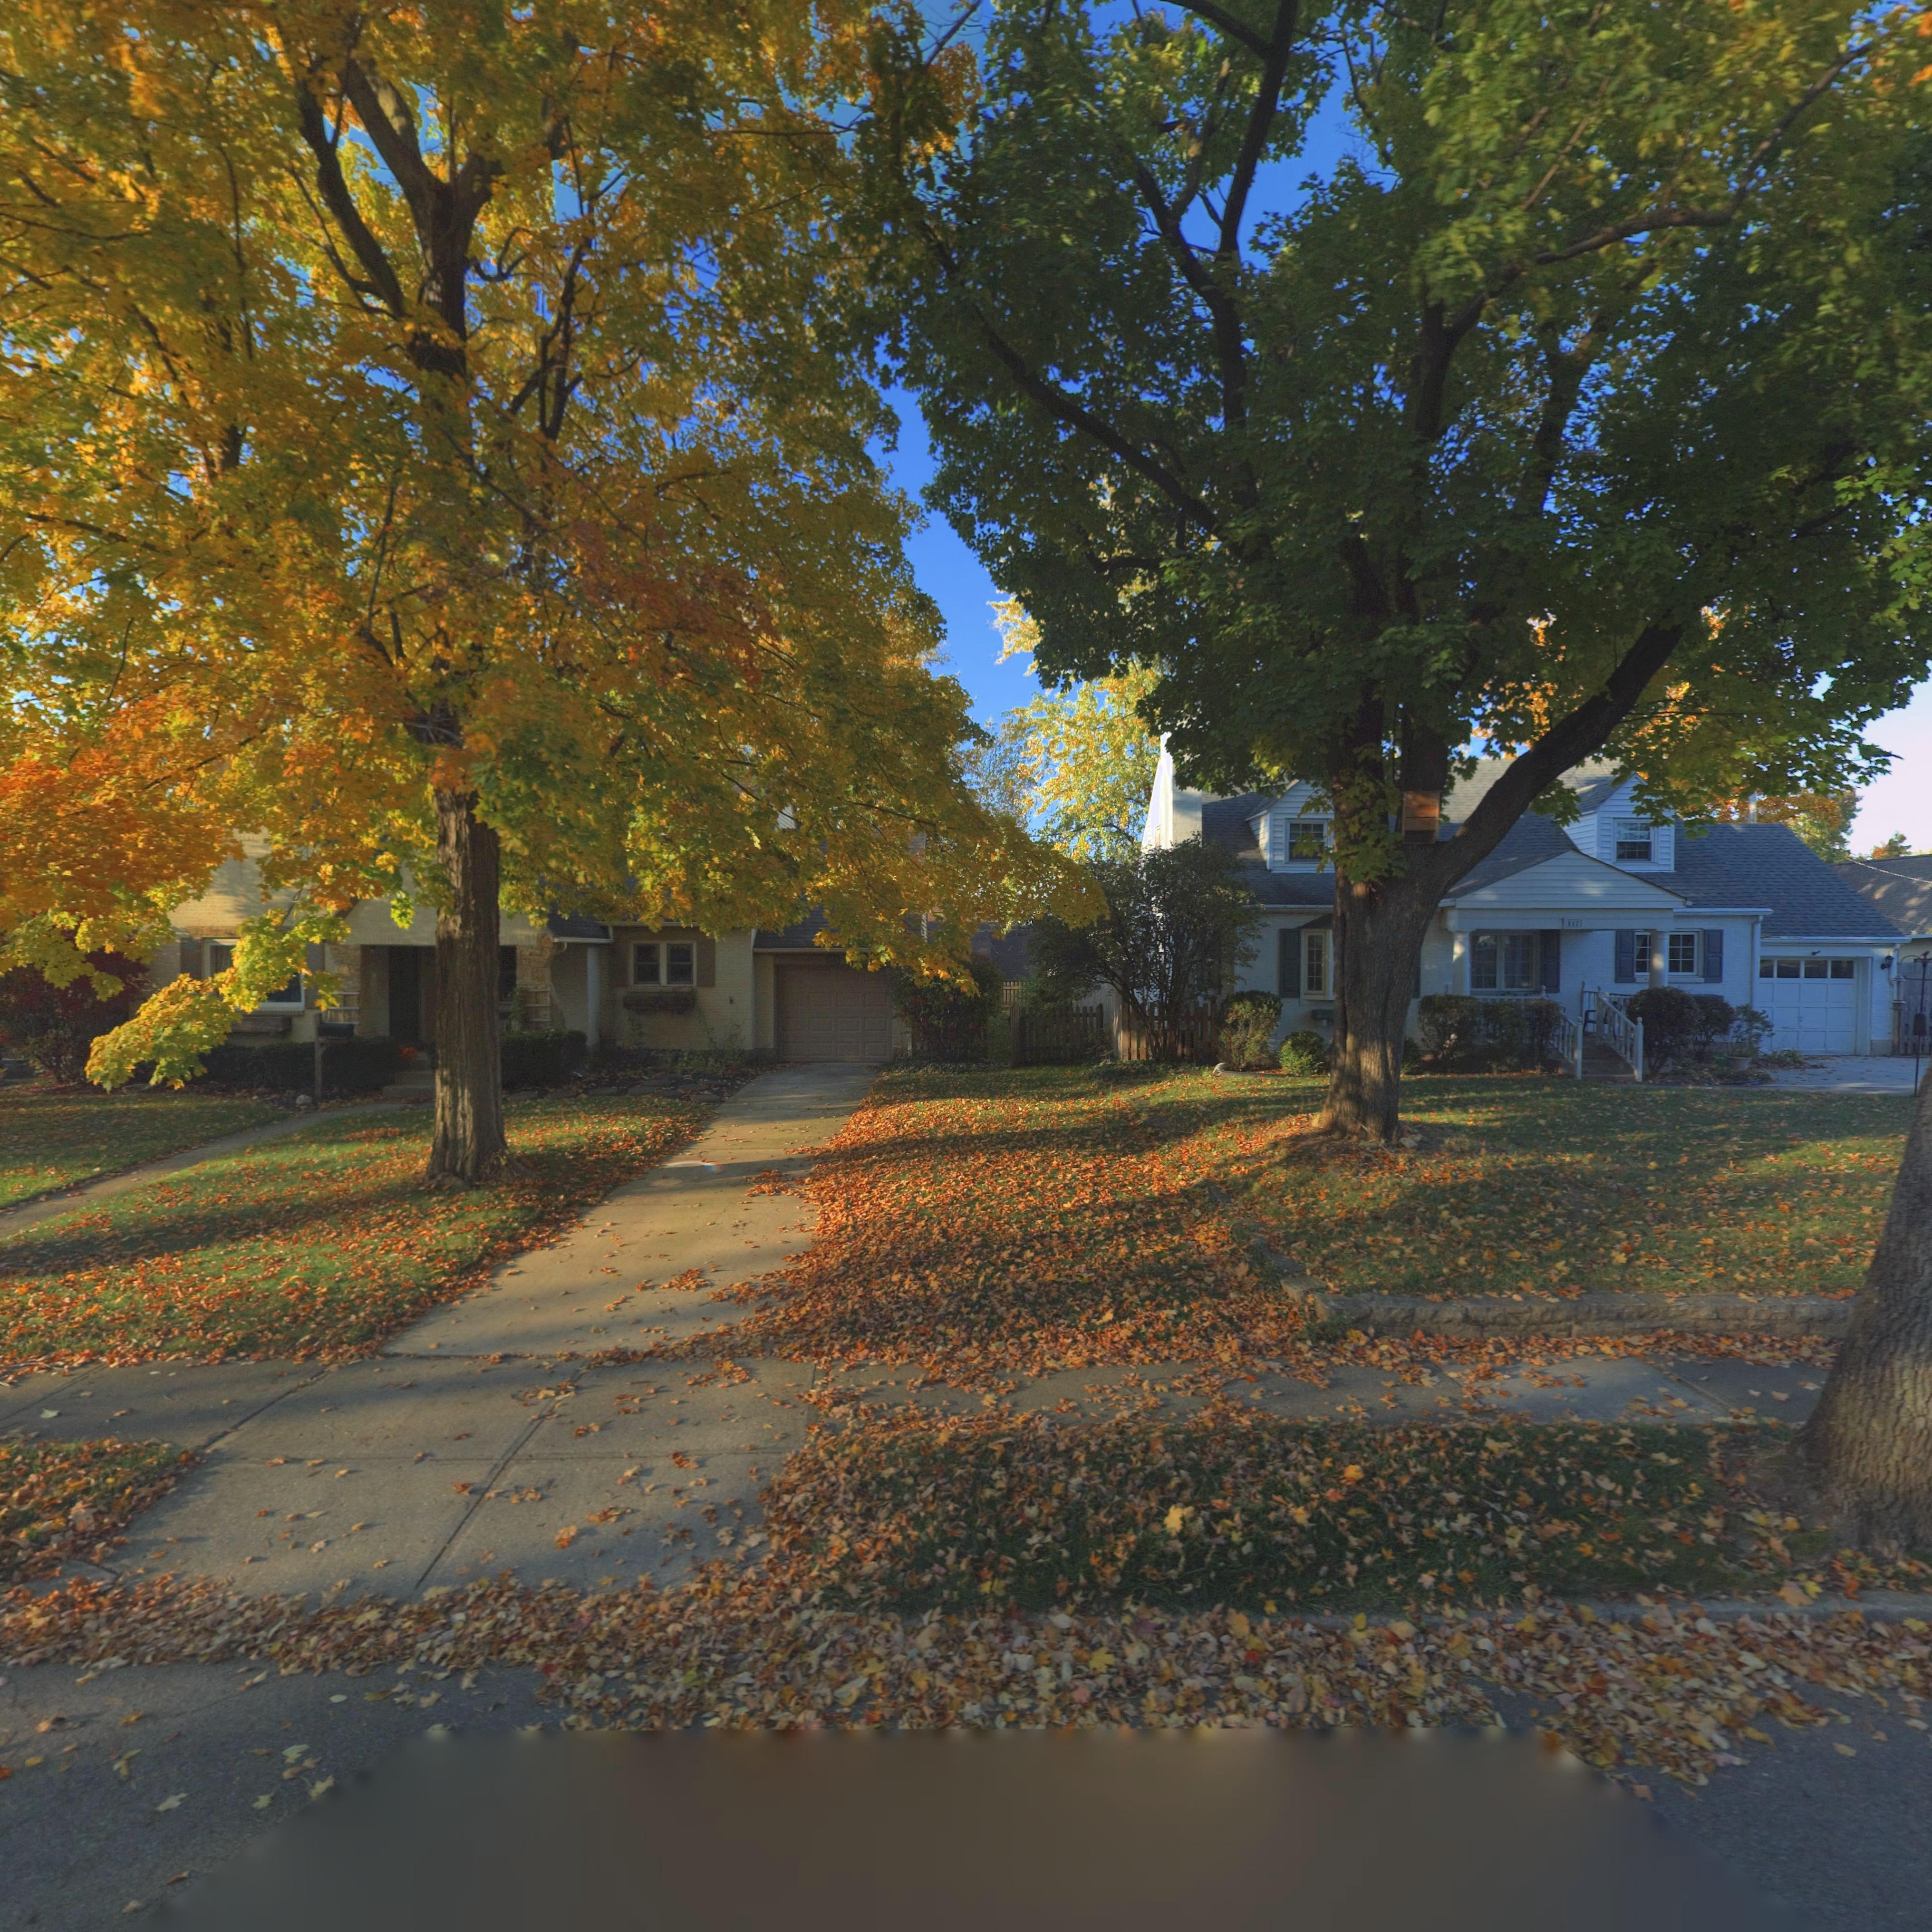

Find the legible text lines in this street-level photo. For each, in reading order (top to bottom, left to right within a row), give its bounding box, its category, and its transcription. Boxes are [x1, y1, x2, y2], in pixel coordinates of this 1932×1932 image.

[1567, 920, 1580, 927] StreetNumber: 117